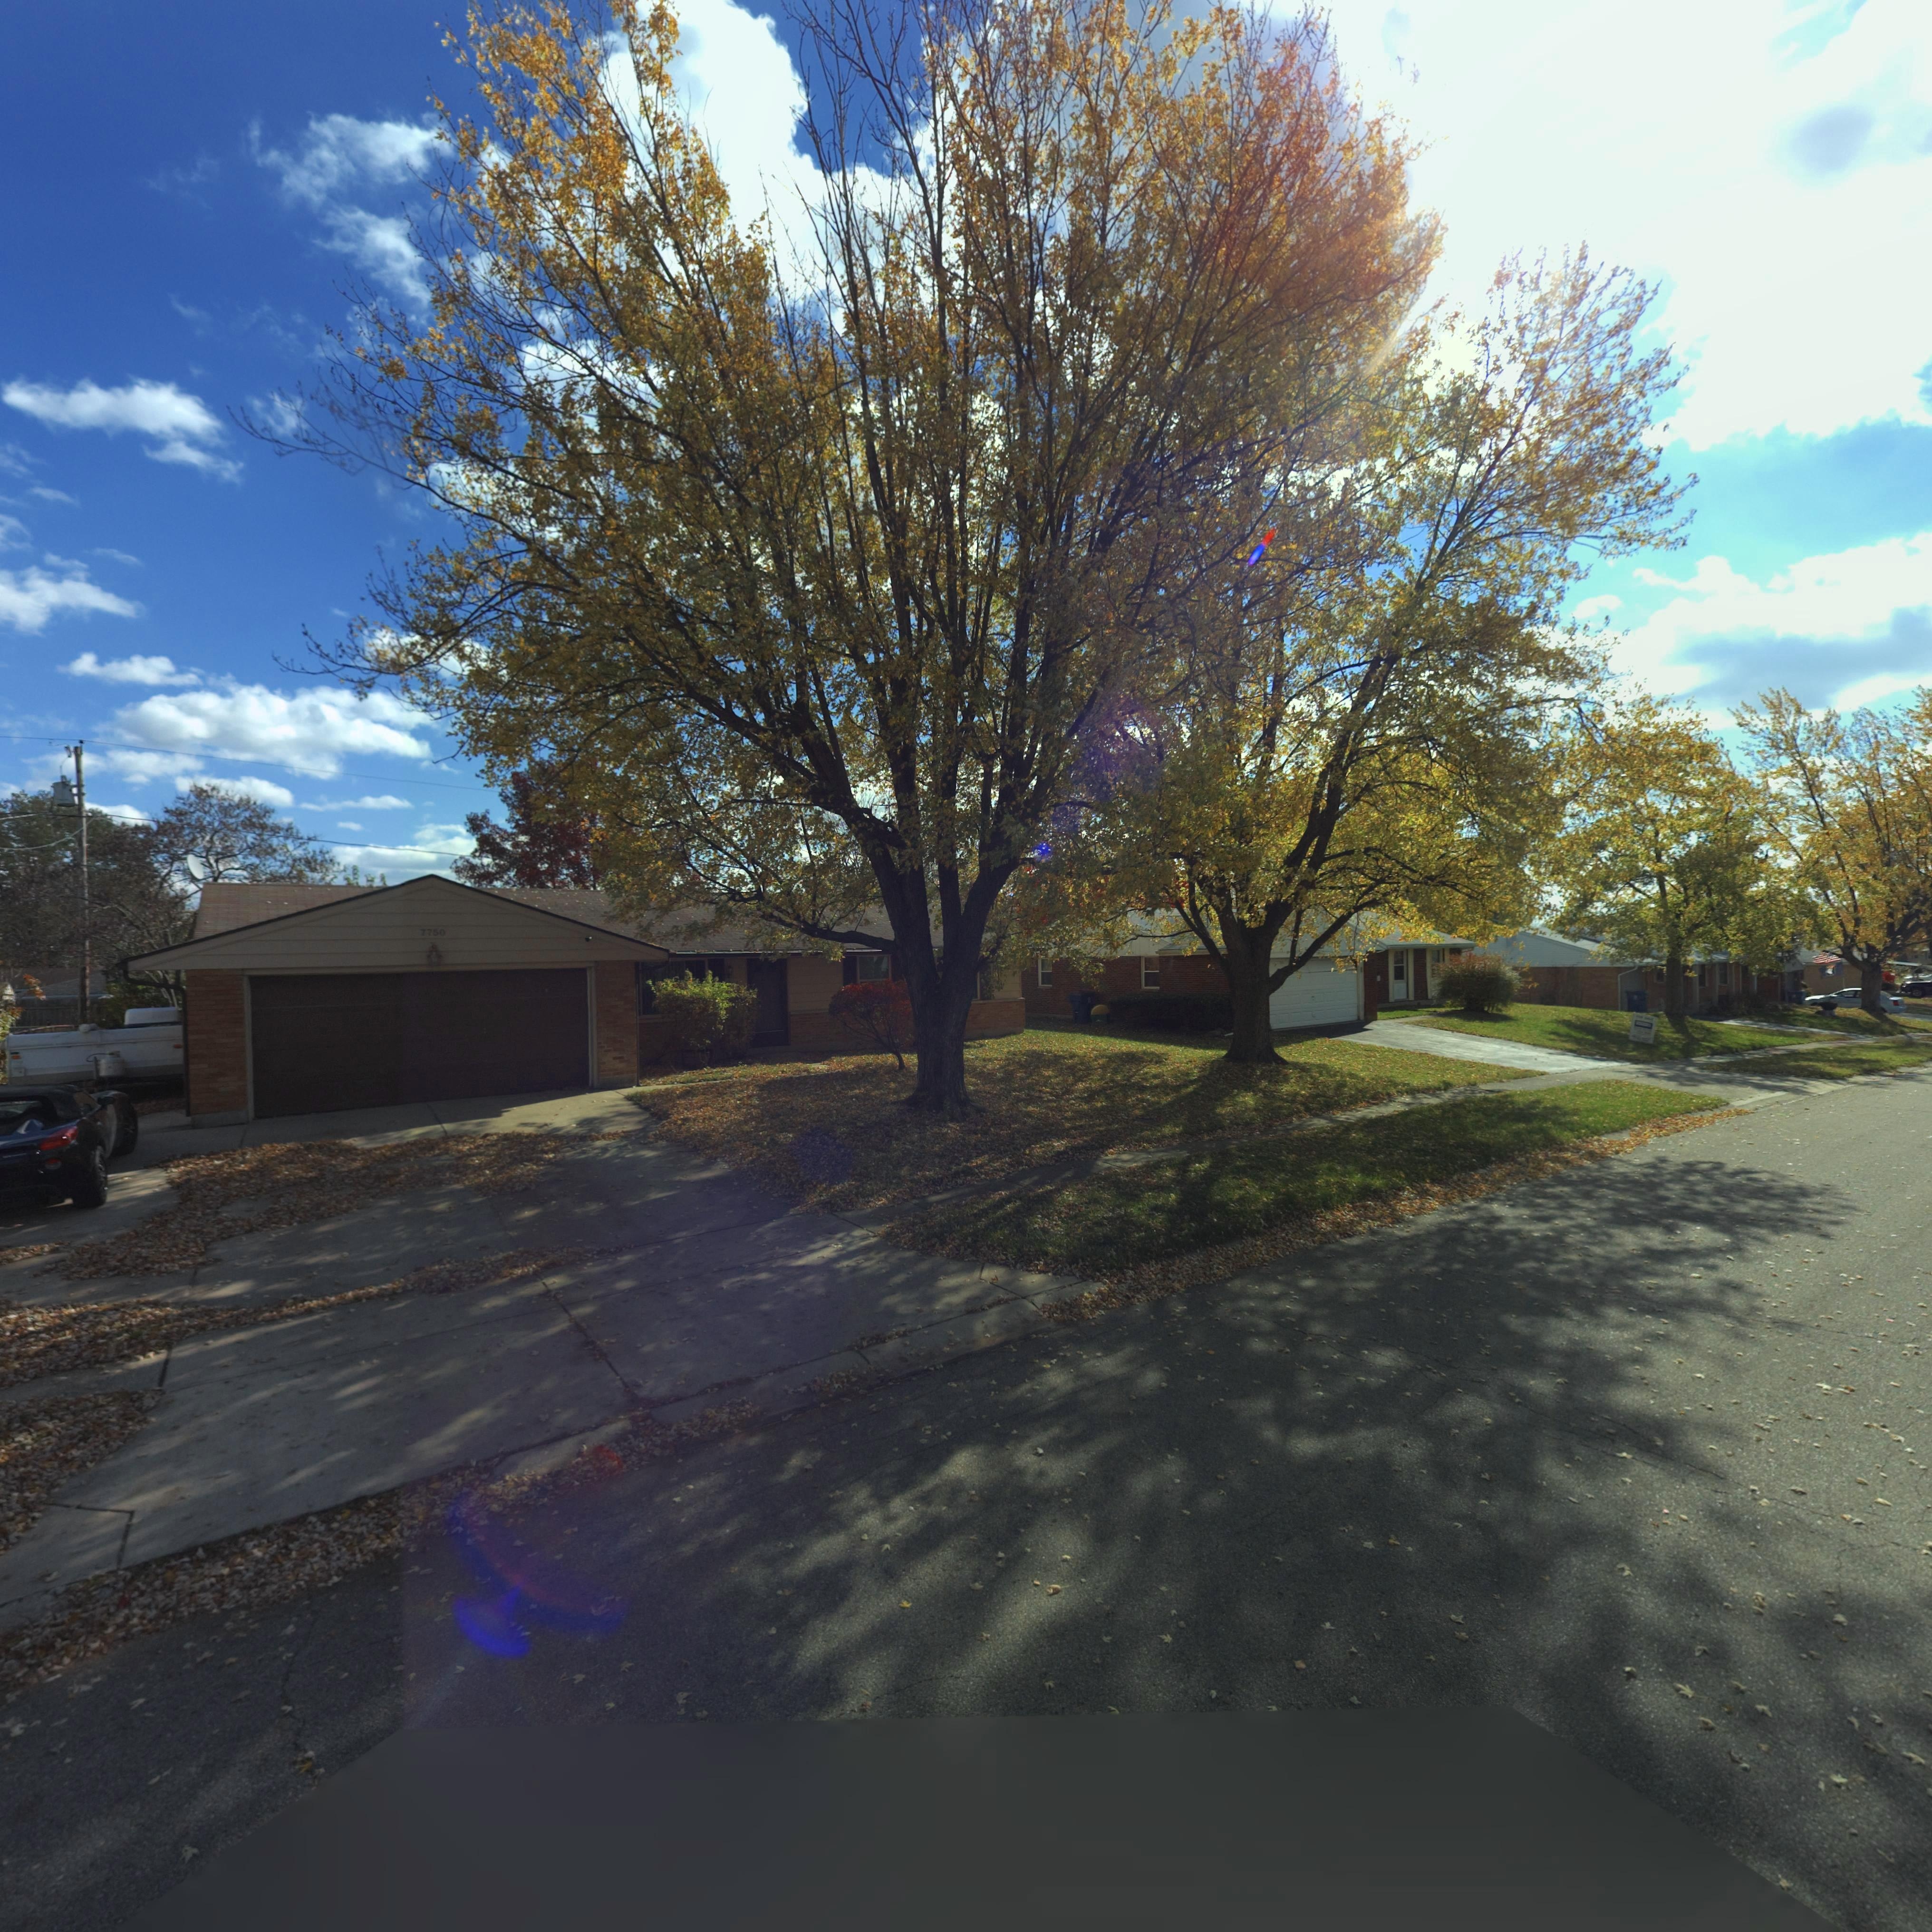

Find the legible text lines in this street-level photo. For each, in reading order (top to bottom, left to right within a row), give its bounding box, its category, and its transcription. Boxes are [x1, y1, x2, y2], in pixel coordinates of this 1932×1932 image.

[419, 928, 446, 937] StreetNumber: 7750